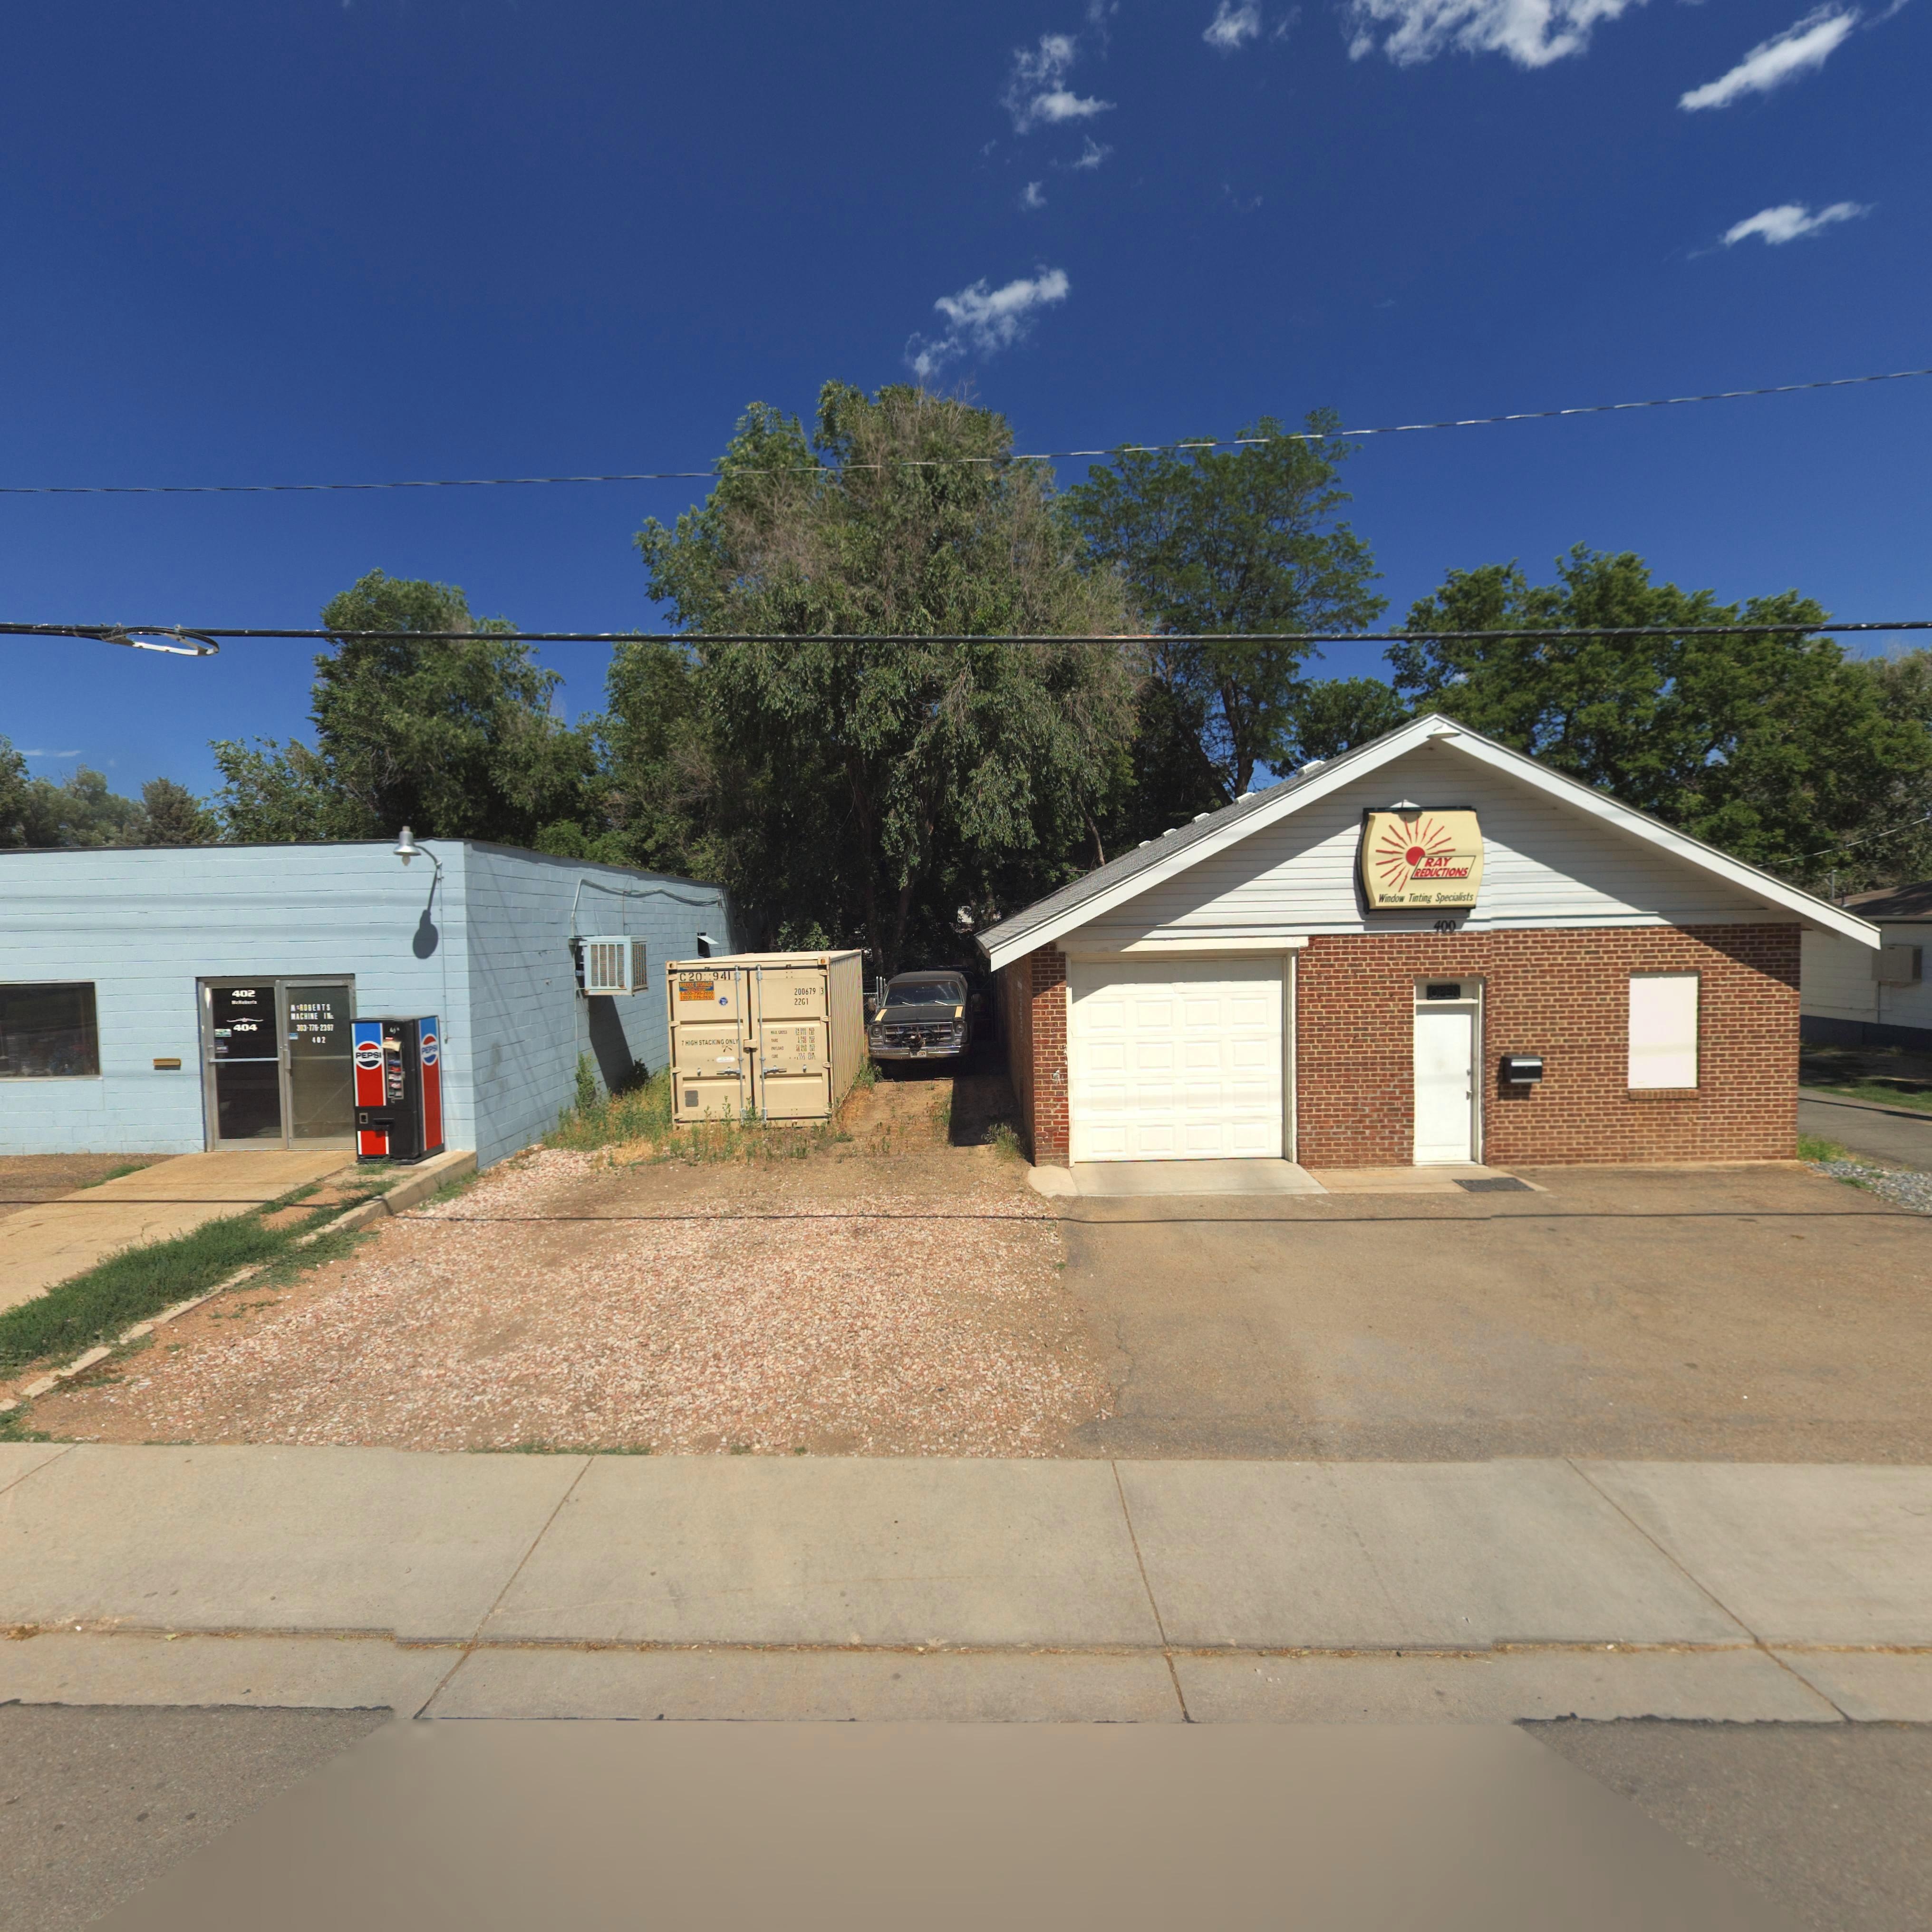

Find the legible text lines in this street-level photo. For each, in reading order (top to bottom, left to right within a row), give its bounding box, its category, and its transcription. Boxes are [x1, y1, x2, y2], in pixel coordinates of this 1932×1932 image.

[1423, 857, 1453, 867] BusinessName: RAY
[1413, 867, 1469, 877] BusinessName: REDUCTIONS
[1433, 919, 1456, 933] StreetNumber: 400
[229, 989, 258, 999] StreetNumber: 402
[231, 1000, 257, 1005] BusinessName: McRoberts
[290, 1003, 331, 1012] BusinessName: McROBERTS
[290, 1012, 335, 1020] BusinessName: MACHINE INc
[232, 1023, 258, 1032] StreetNumber: 404
[310, 1036, 327, 1044] StreetNumber: 402